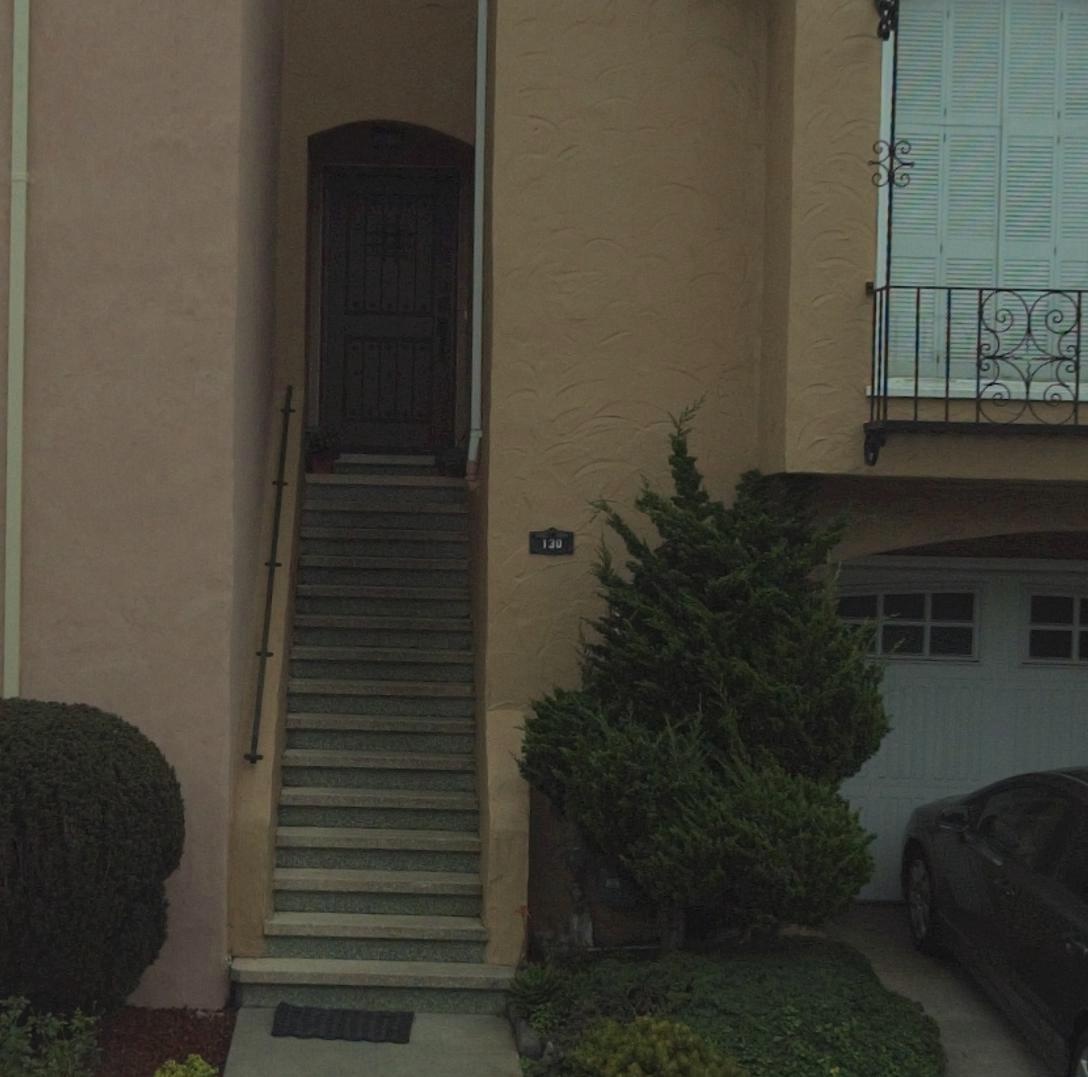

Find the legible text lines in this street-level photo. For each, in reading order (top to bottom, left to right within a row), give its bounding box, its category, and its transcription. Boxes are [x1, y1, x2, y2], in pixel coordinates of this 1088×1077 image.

[541, 537, 564, 550] StreetNumber: 130